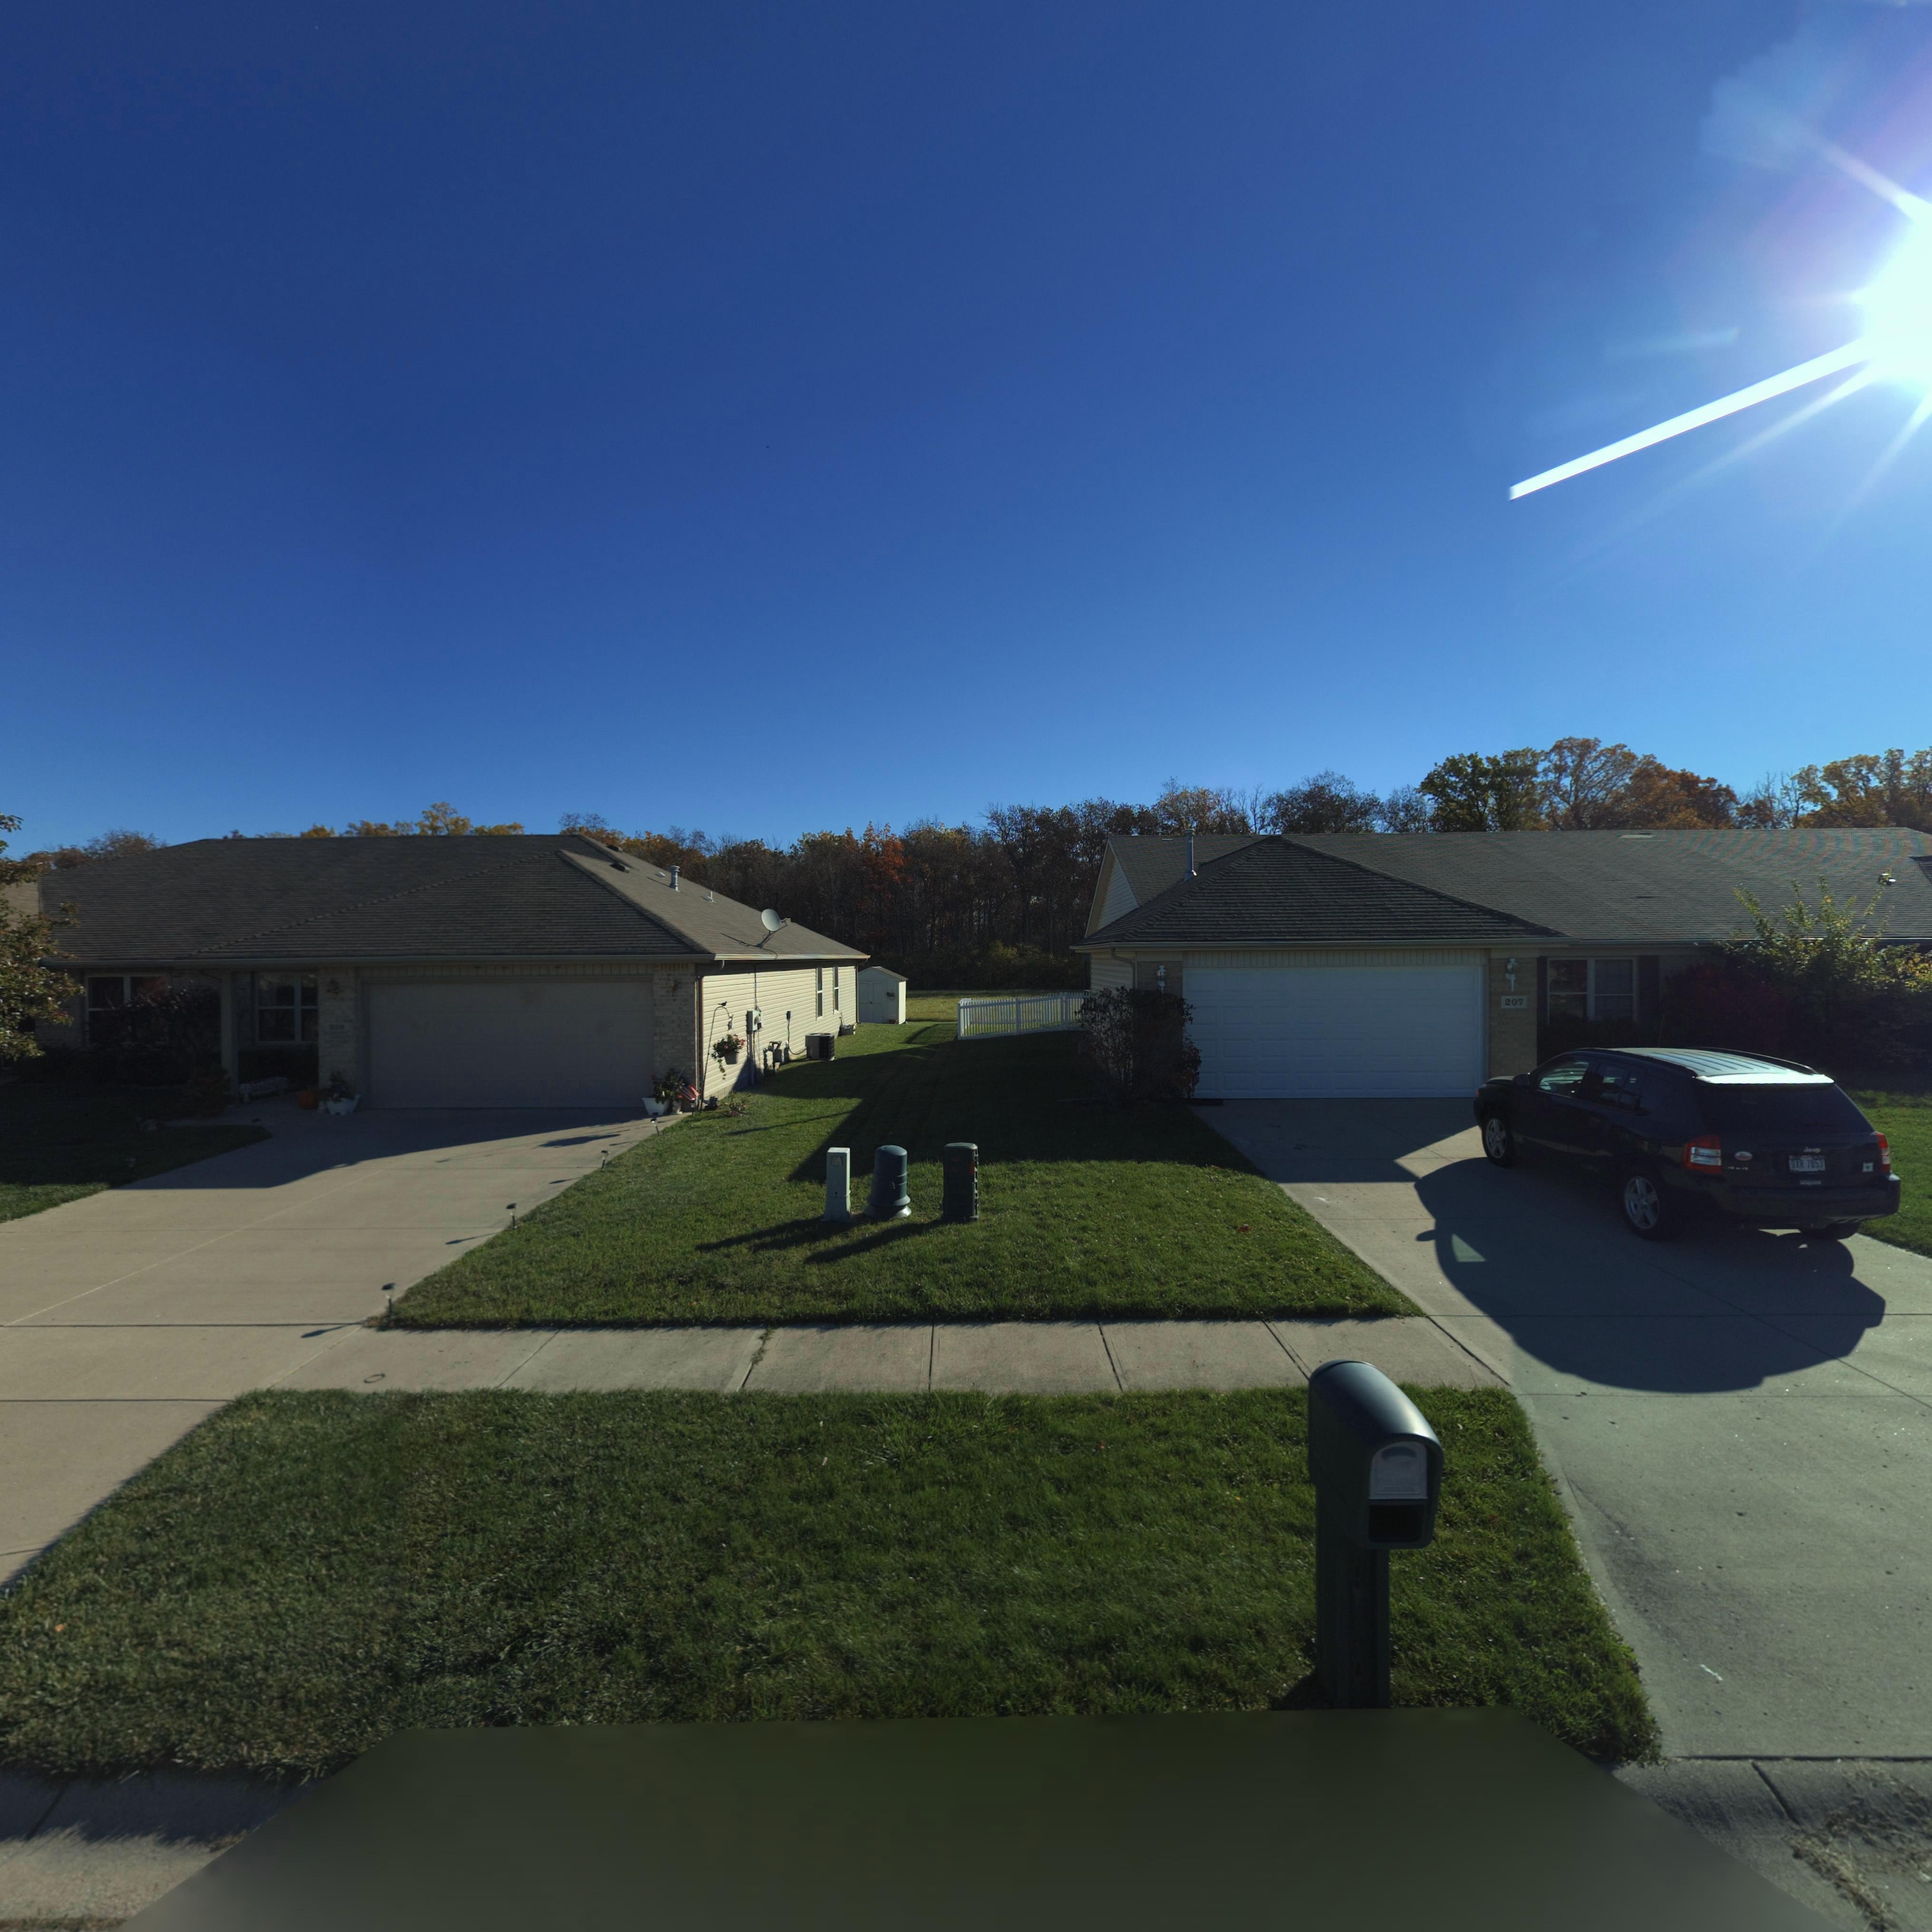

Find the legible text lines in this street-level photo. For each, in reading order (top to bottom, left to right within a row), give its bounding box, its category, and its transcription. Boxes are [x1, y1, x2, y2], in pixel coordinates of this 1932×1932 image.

[1504, 997, 1524, 1006] StreetNumber: 207